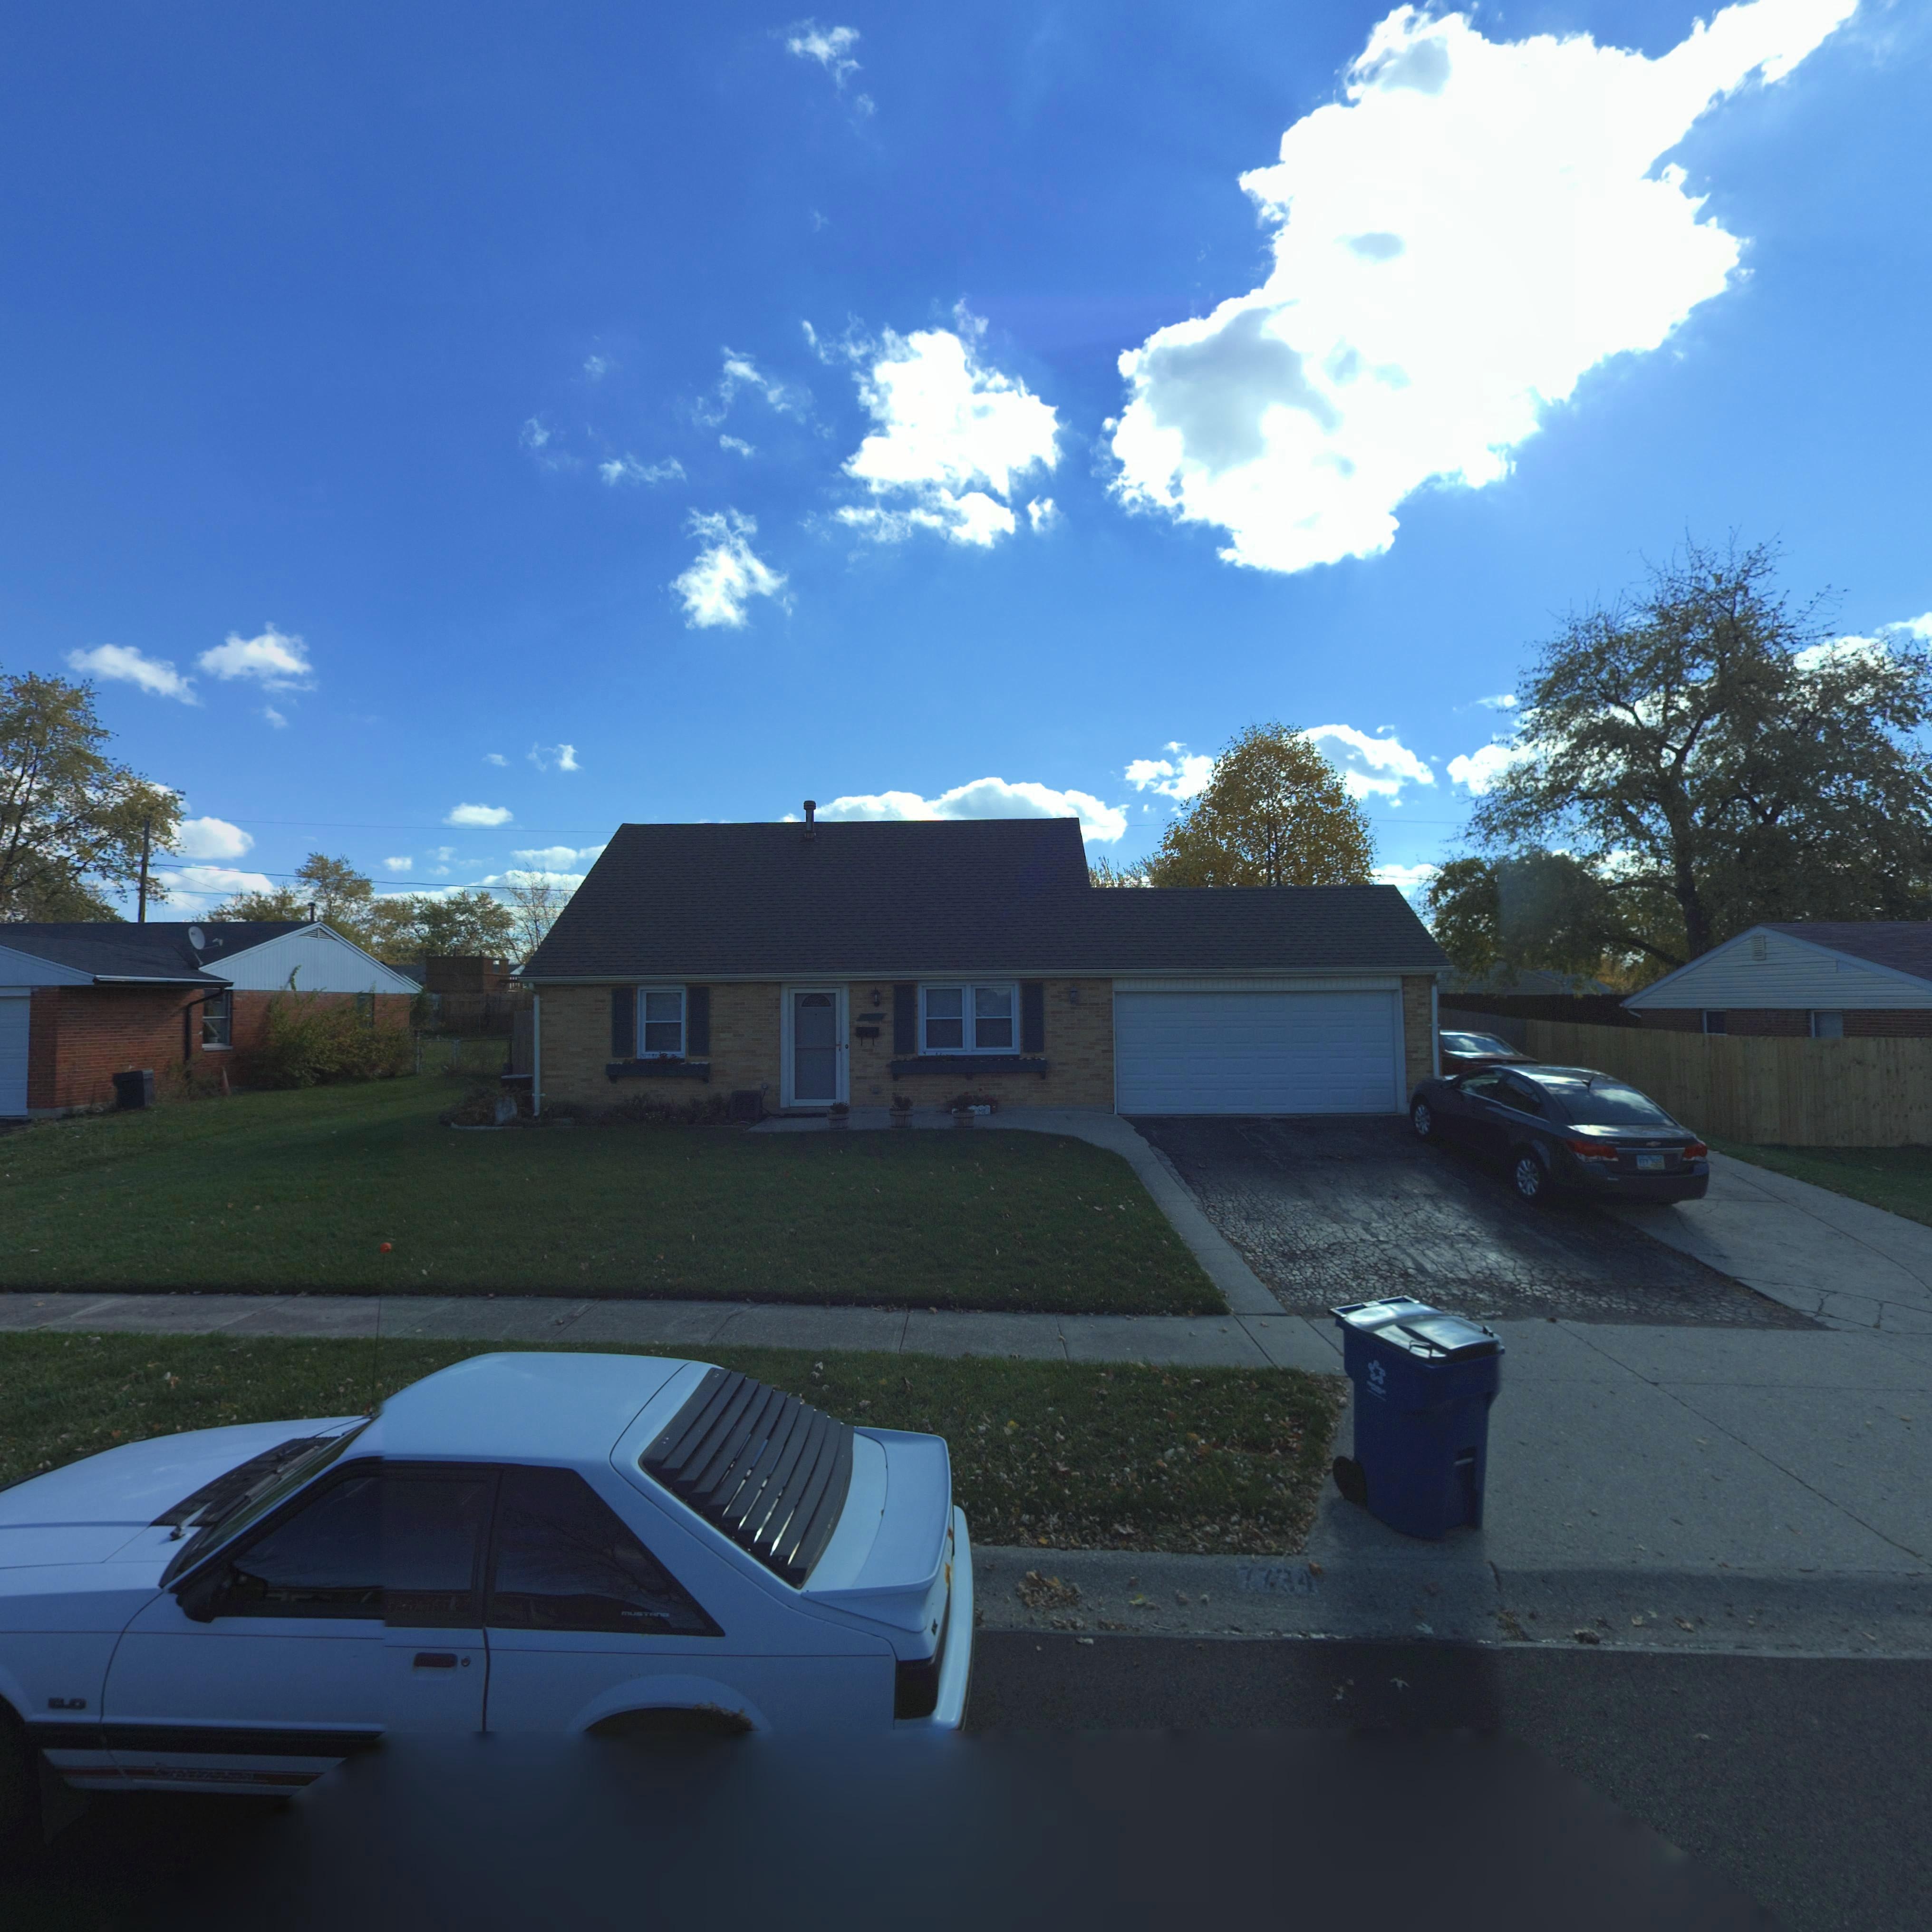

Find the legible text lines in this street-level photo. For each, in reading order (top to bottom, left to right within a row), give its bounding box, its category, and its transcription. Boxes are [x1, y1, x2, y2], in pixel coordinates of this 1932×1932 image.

[1237, 1565, 1317, 1594] StreetNumber: 7734